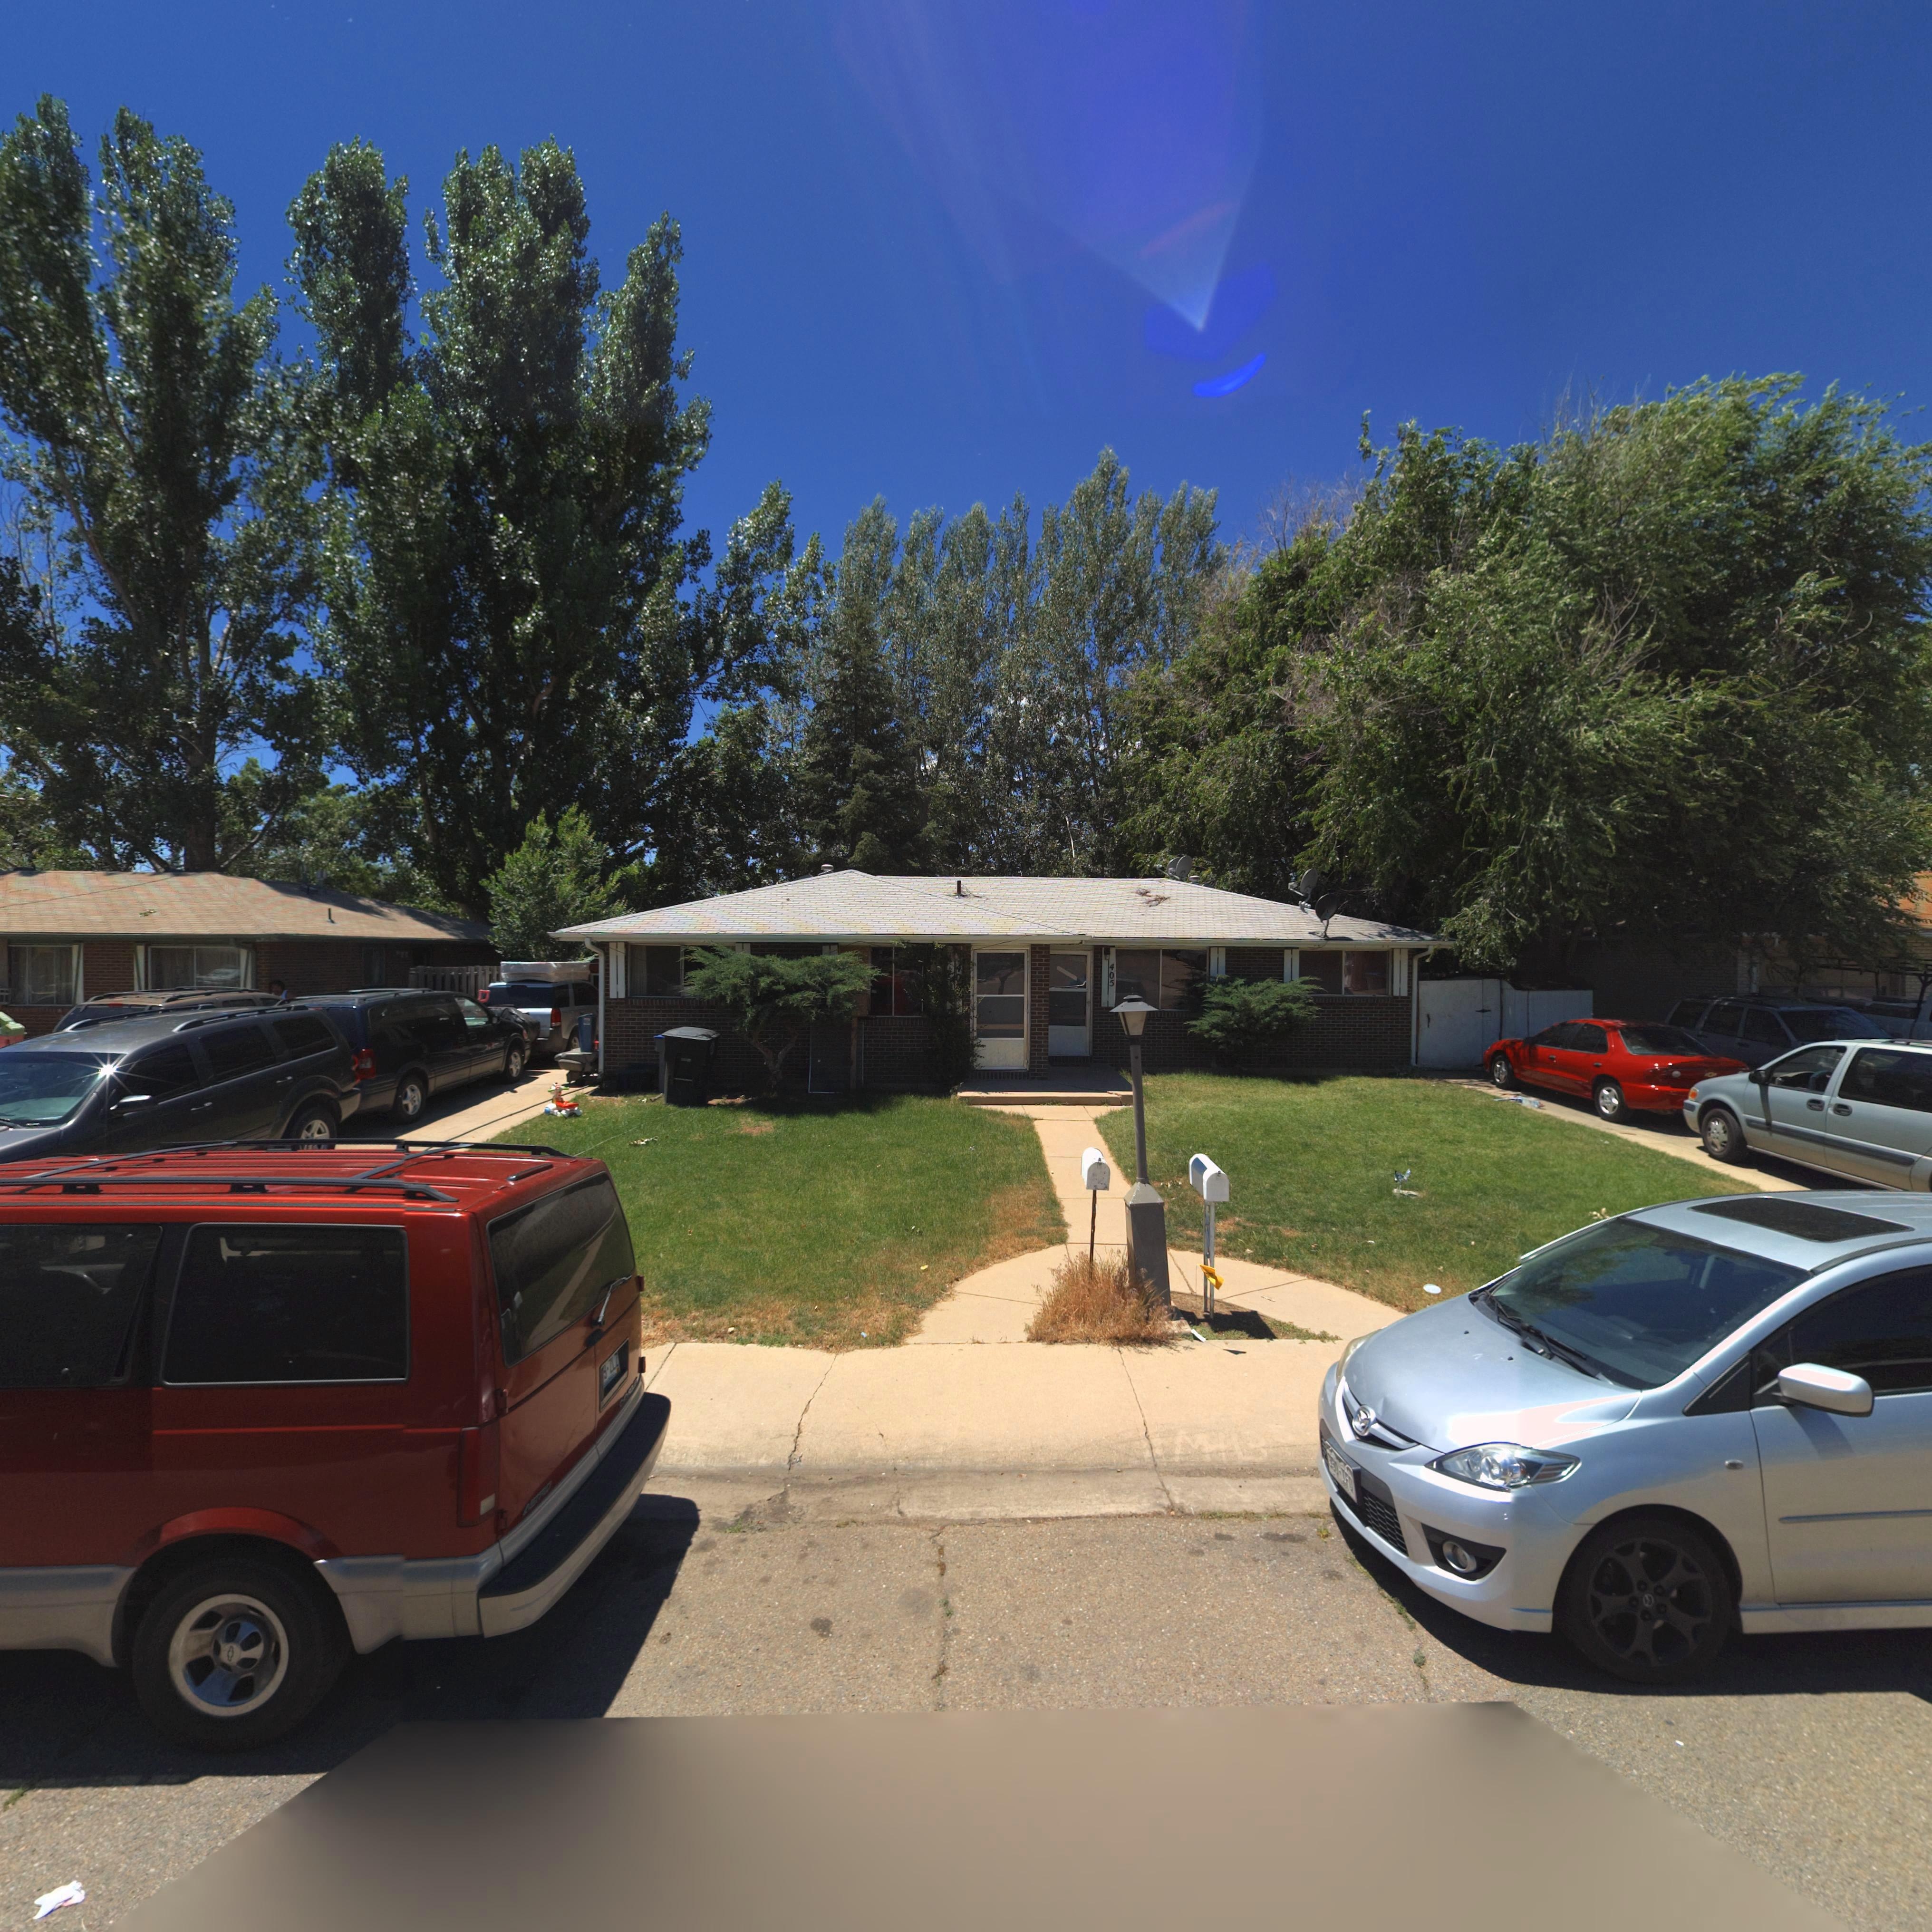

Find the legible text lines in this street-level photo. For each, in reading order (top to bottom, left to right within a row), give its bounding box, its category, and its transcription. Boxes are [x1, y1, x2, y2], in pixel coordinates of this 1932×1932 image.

[955, 962, 962, 983] StreetNumber: 40
[1109, 963, 1114, 987] StreetNumber: 405